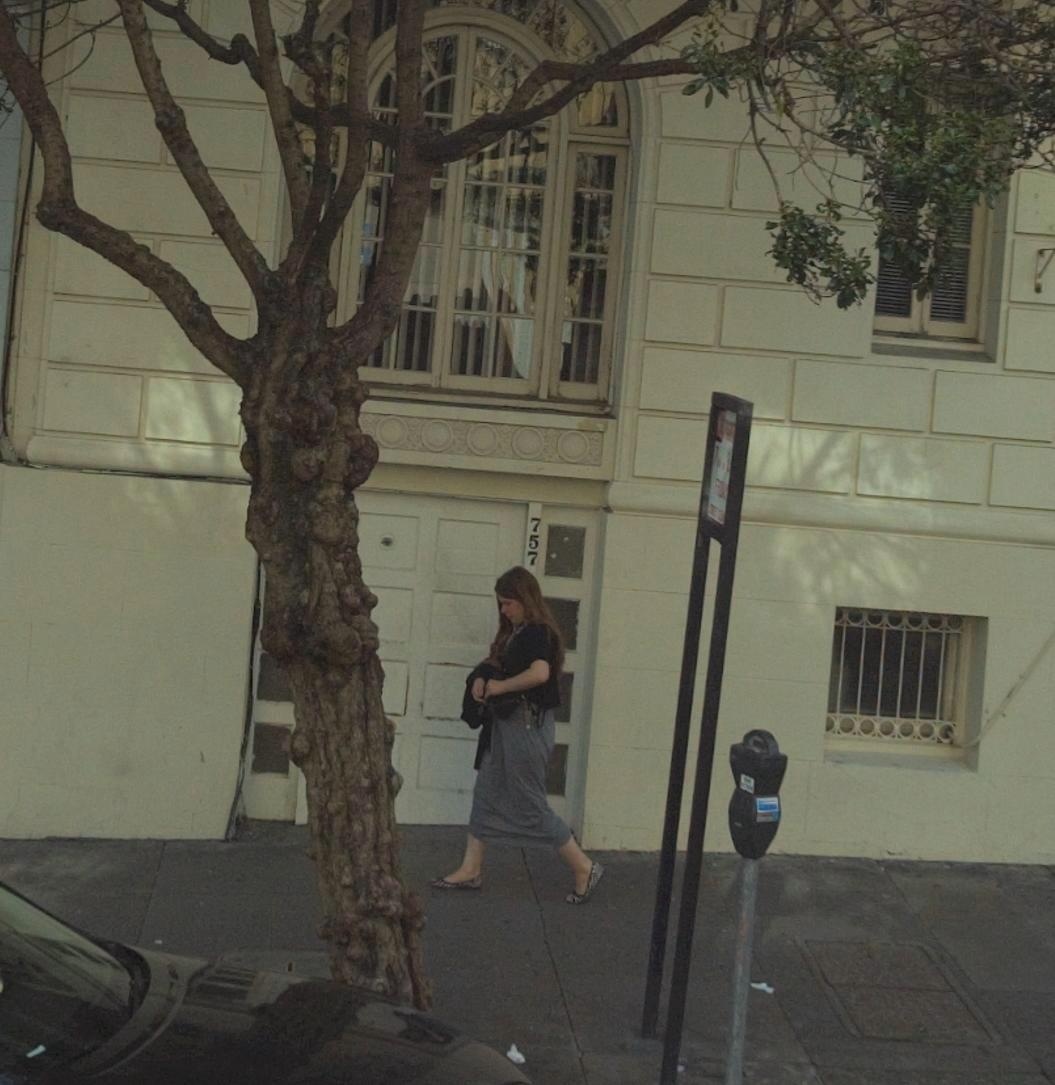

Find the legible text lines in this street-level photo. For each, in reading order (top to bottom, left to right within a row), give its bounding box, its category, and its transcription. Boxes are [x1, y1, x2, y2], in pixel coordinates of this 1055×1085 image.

[524, 513, 544, 570] StreetNumber: 757